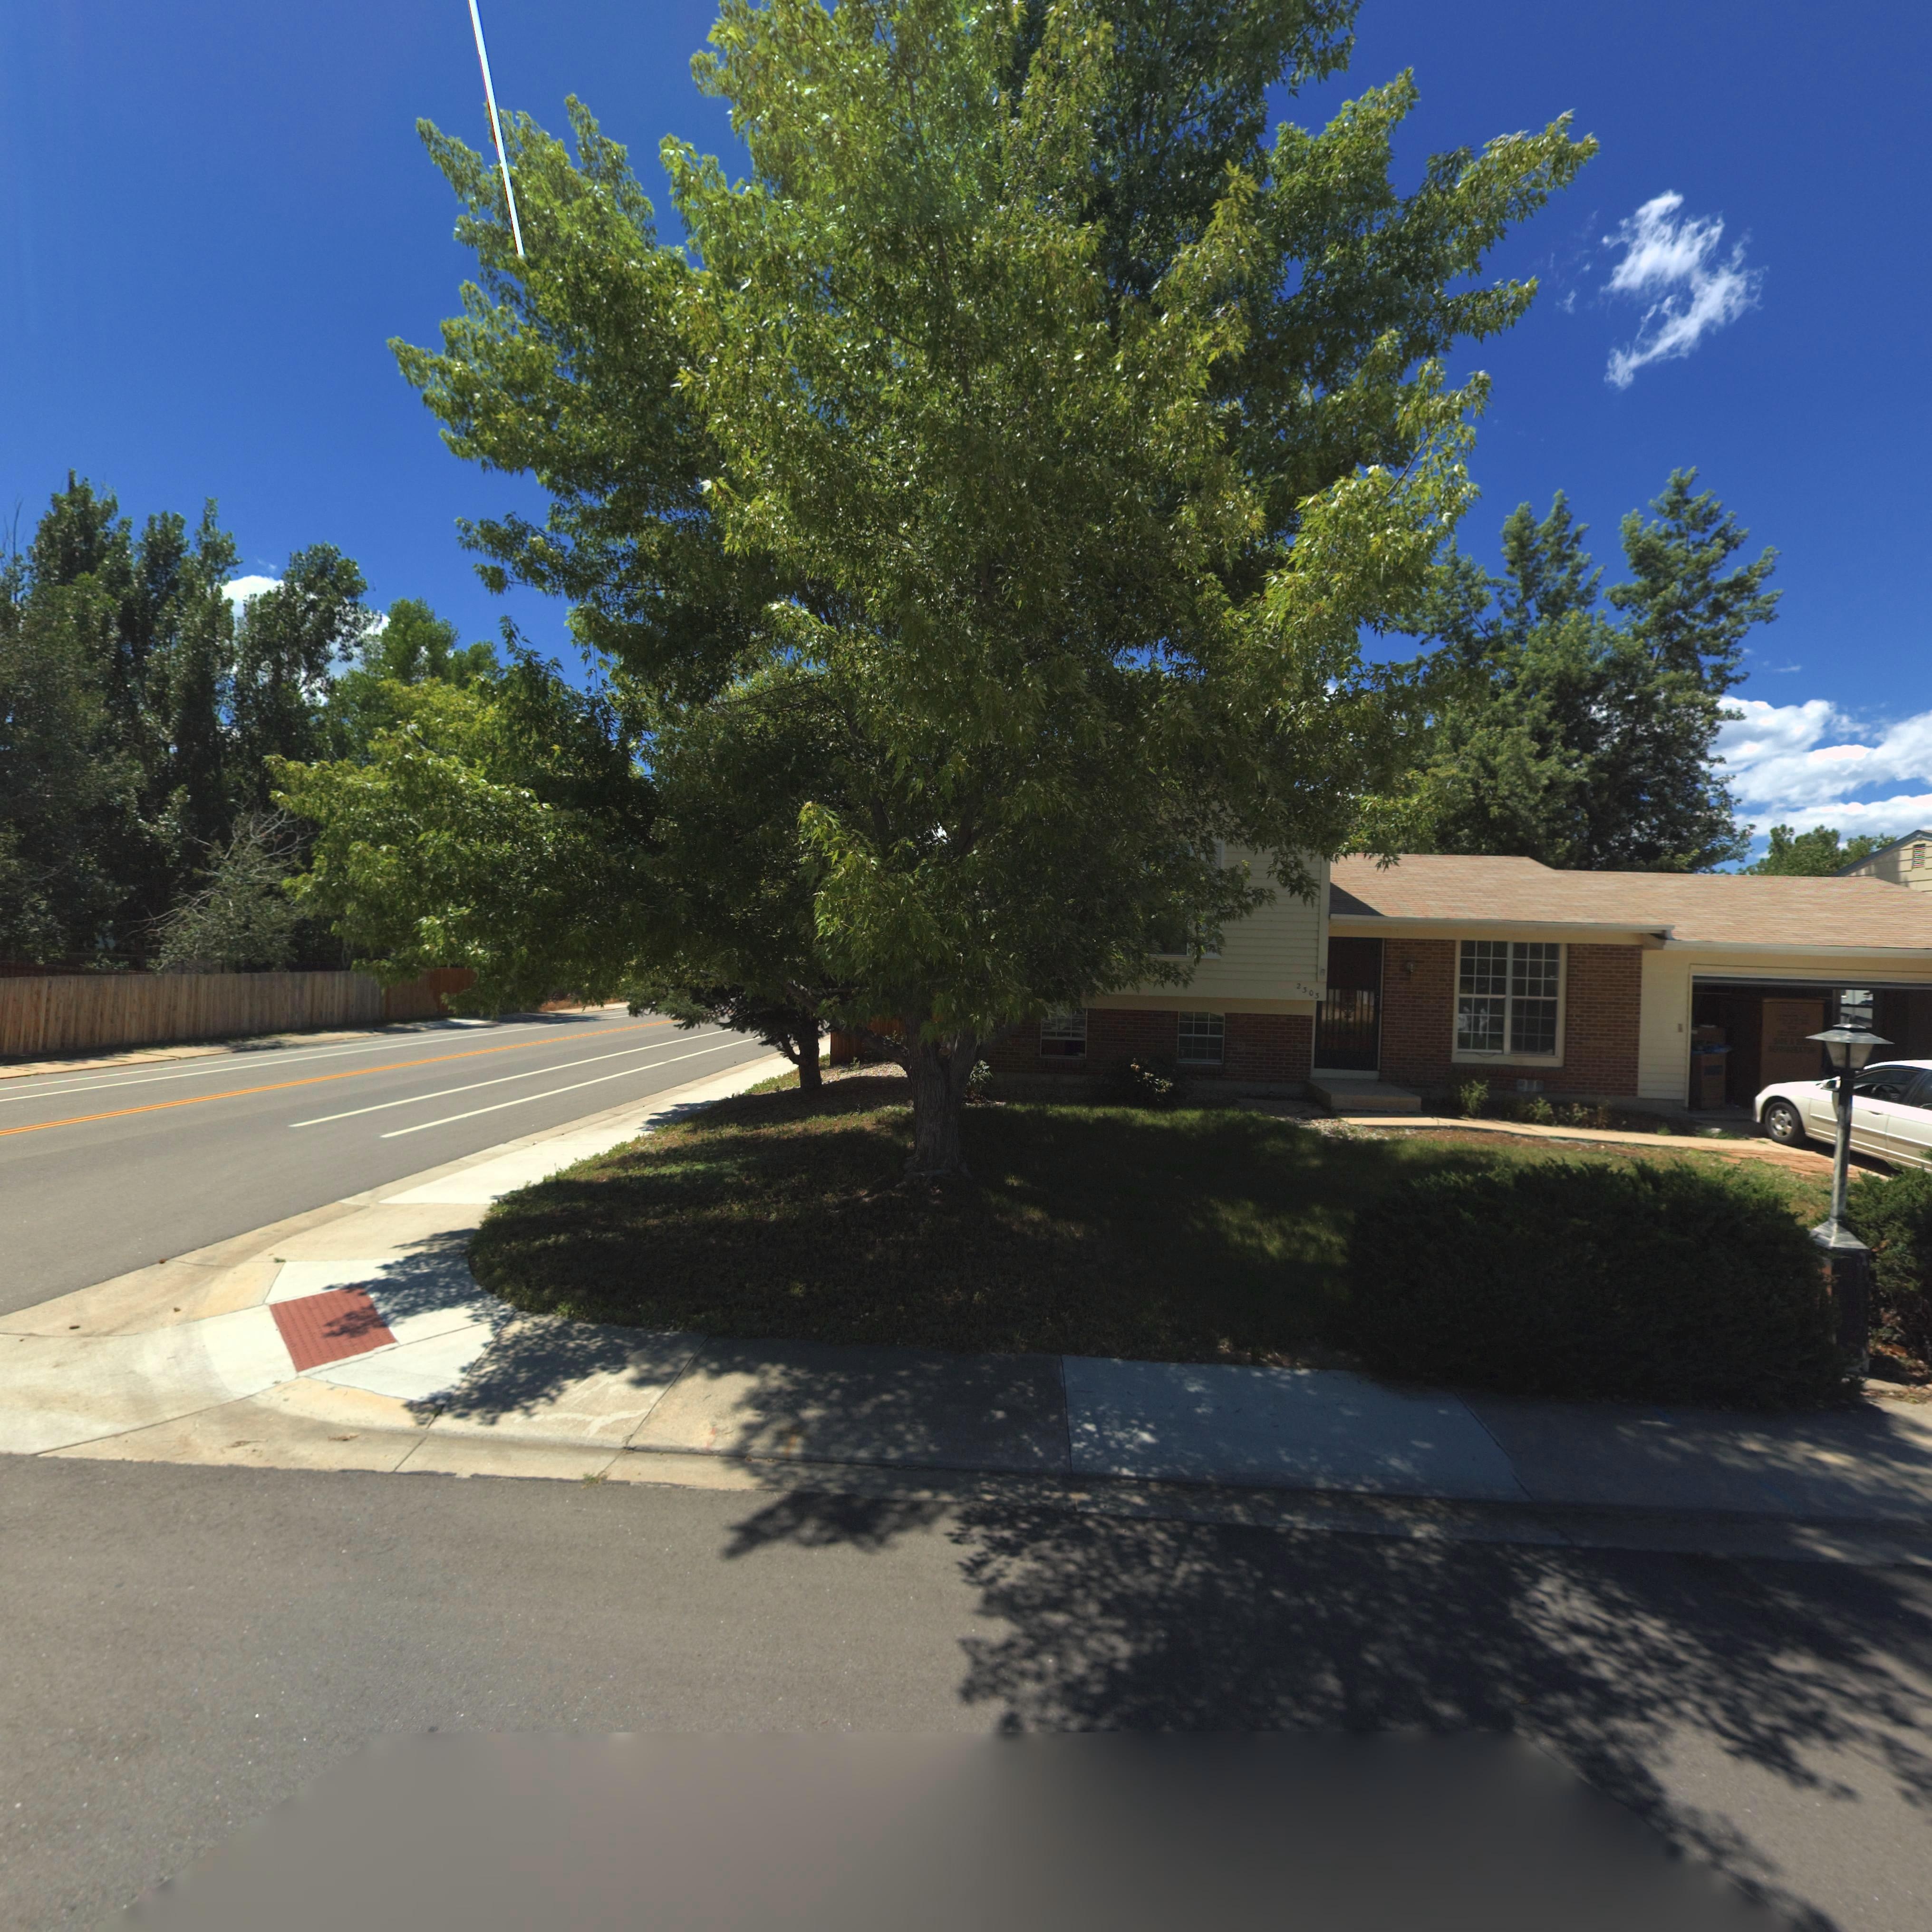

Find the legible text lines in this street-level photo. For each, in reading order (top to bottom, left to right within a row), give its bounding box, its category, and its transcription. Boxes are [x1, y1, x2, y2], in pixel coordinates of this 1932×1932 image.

[1296, 982, 1319, 999] StreetNumber: 2303